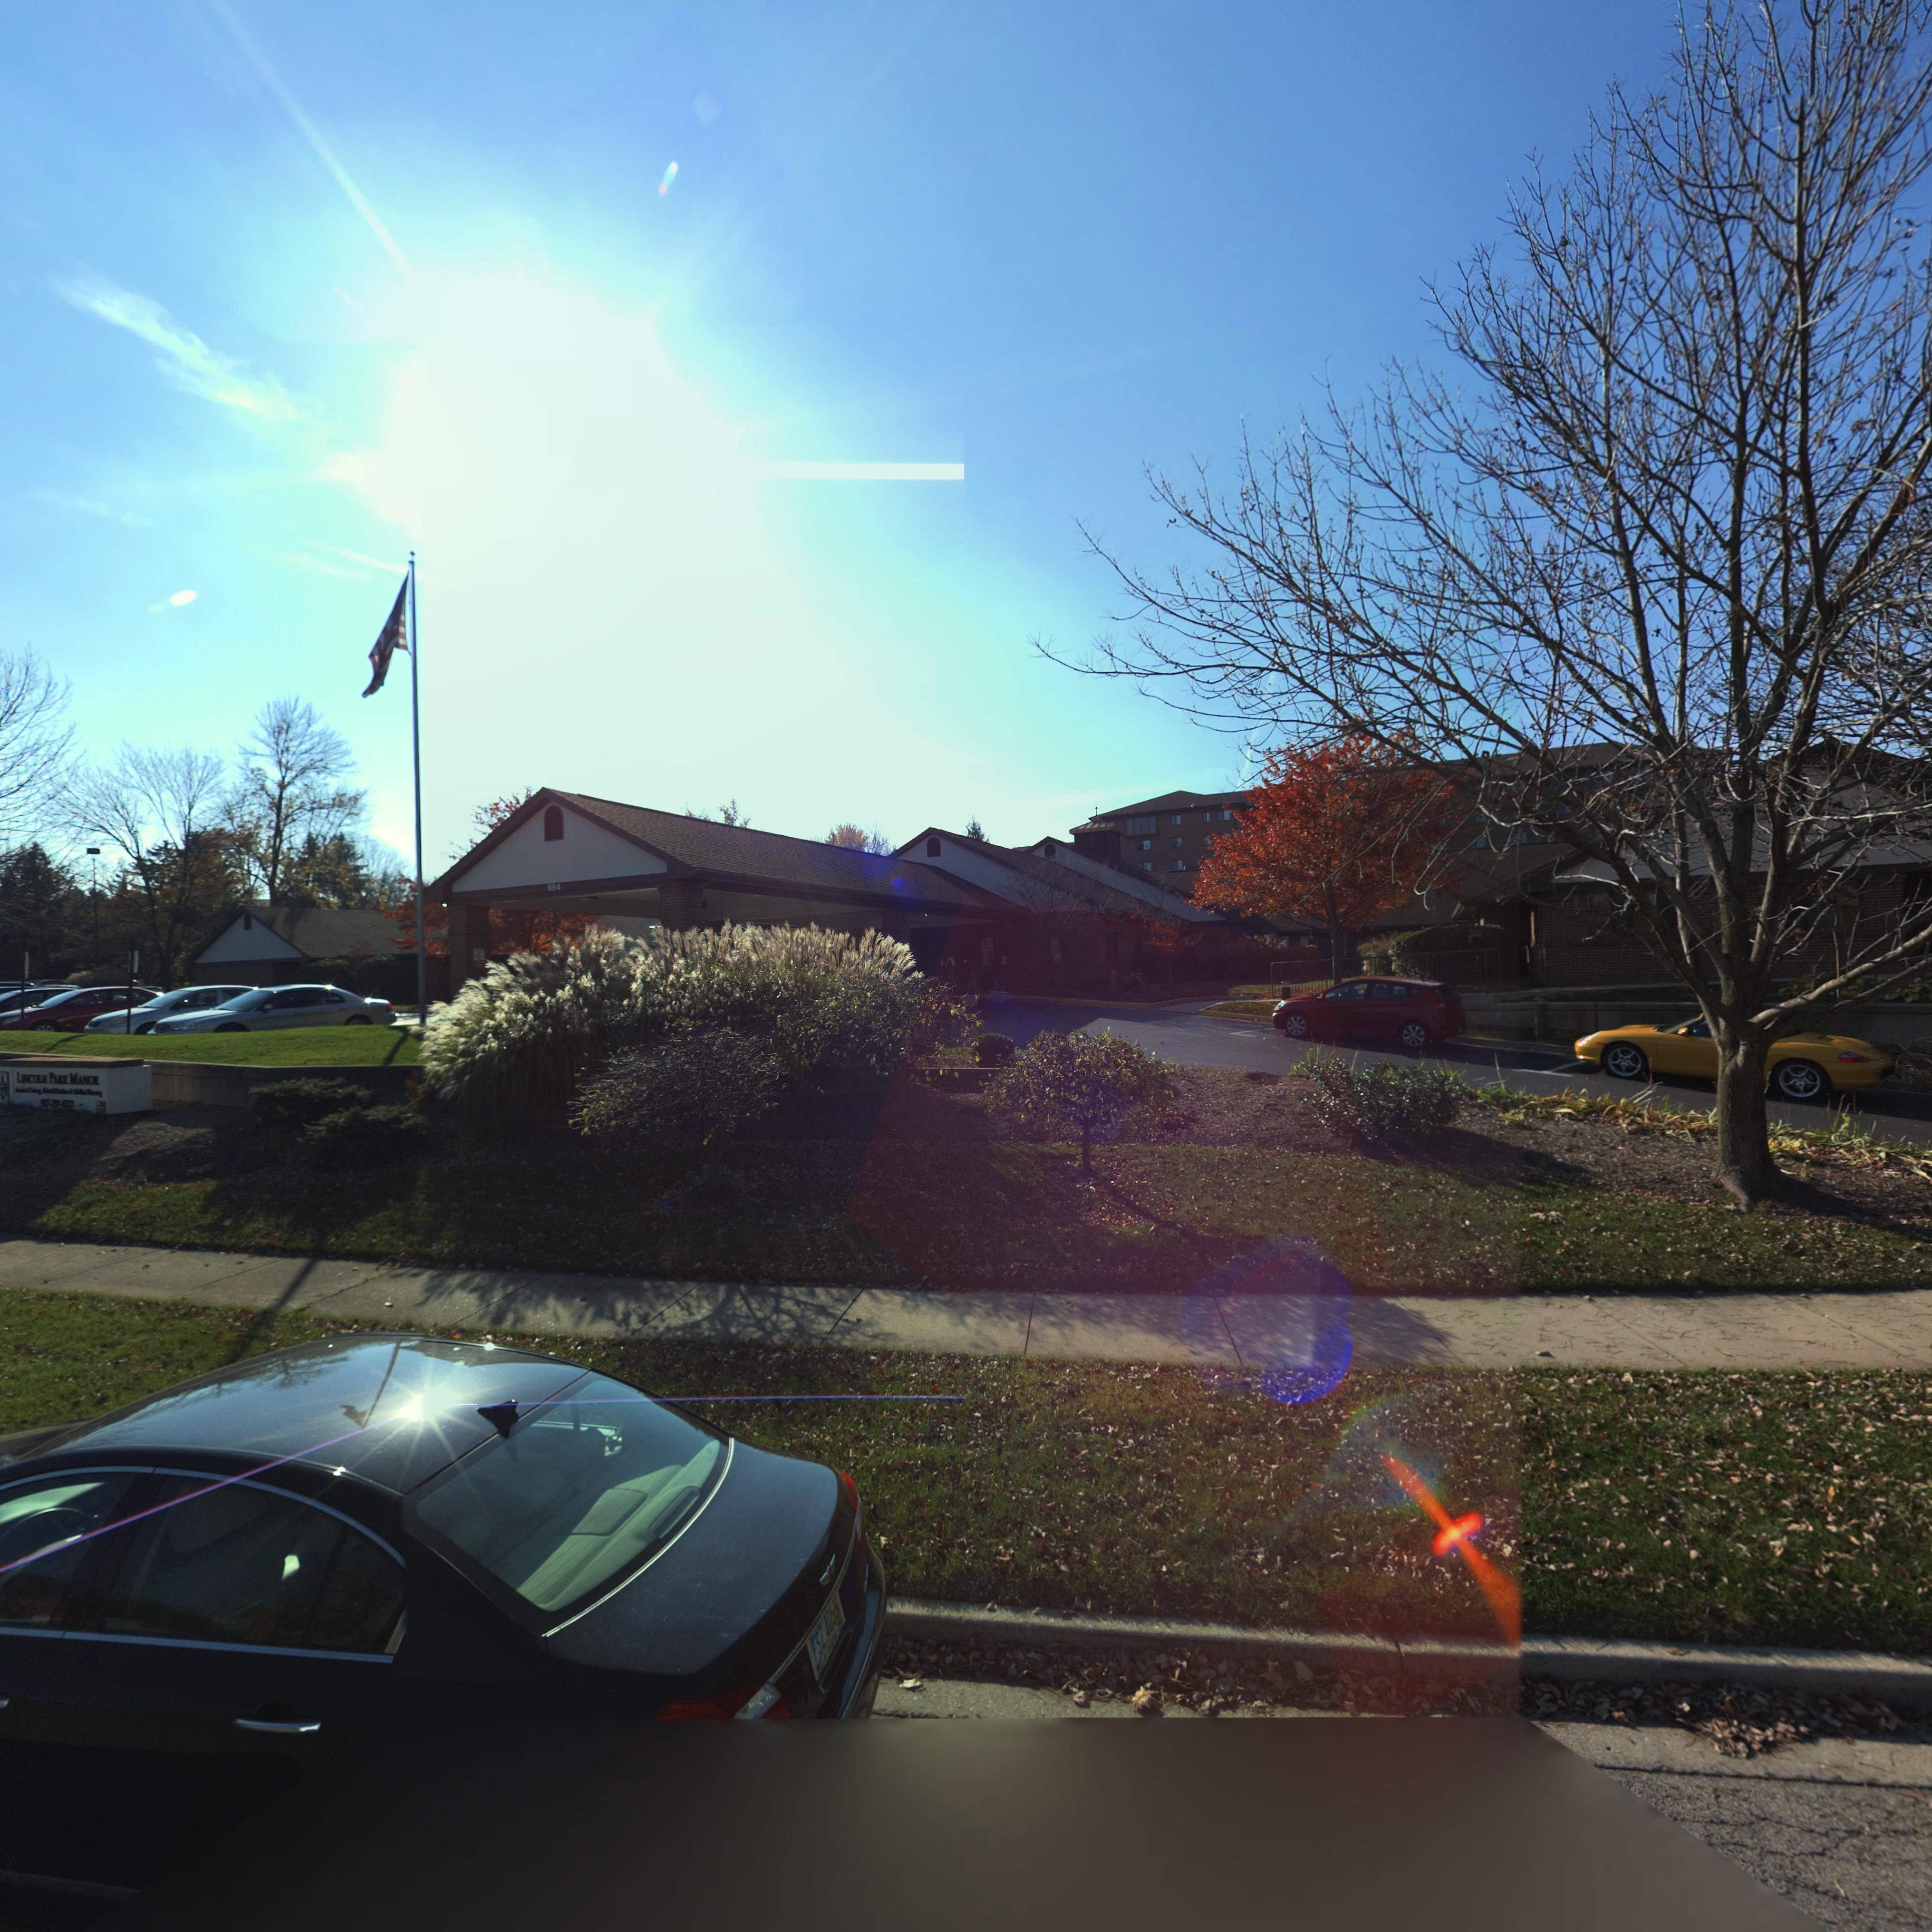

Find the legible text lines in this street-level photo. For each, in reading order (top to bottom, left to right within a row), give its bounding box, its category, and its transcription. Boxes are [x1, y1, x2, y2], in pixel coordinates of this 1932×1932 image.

[547, 883, 561, 892] StreetNumber: 694
[15, 1071, 101, 1086] BusinessName: LINCOLN PARK MANOR